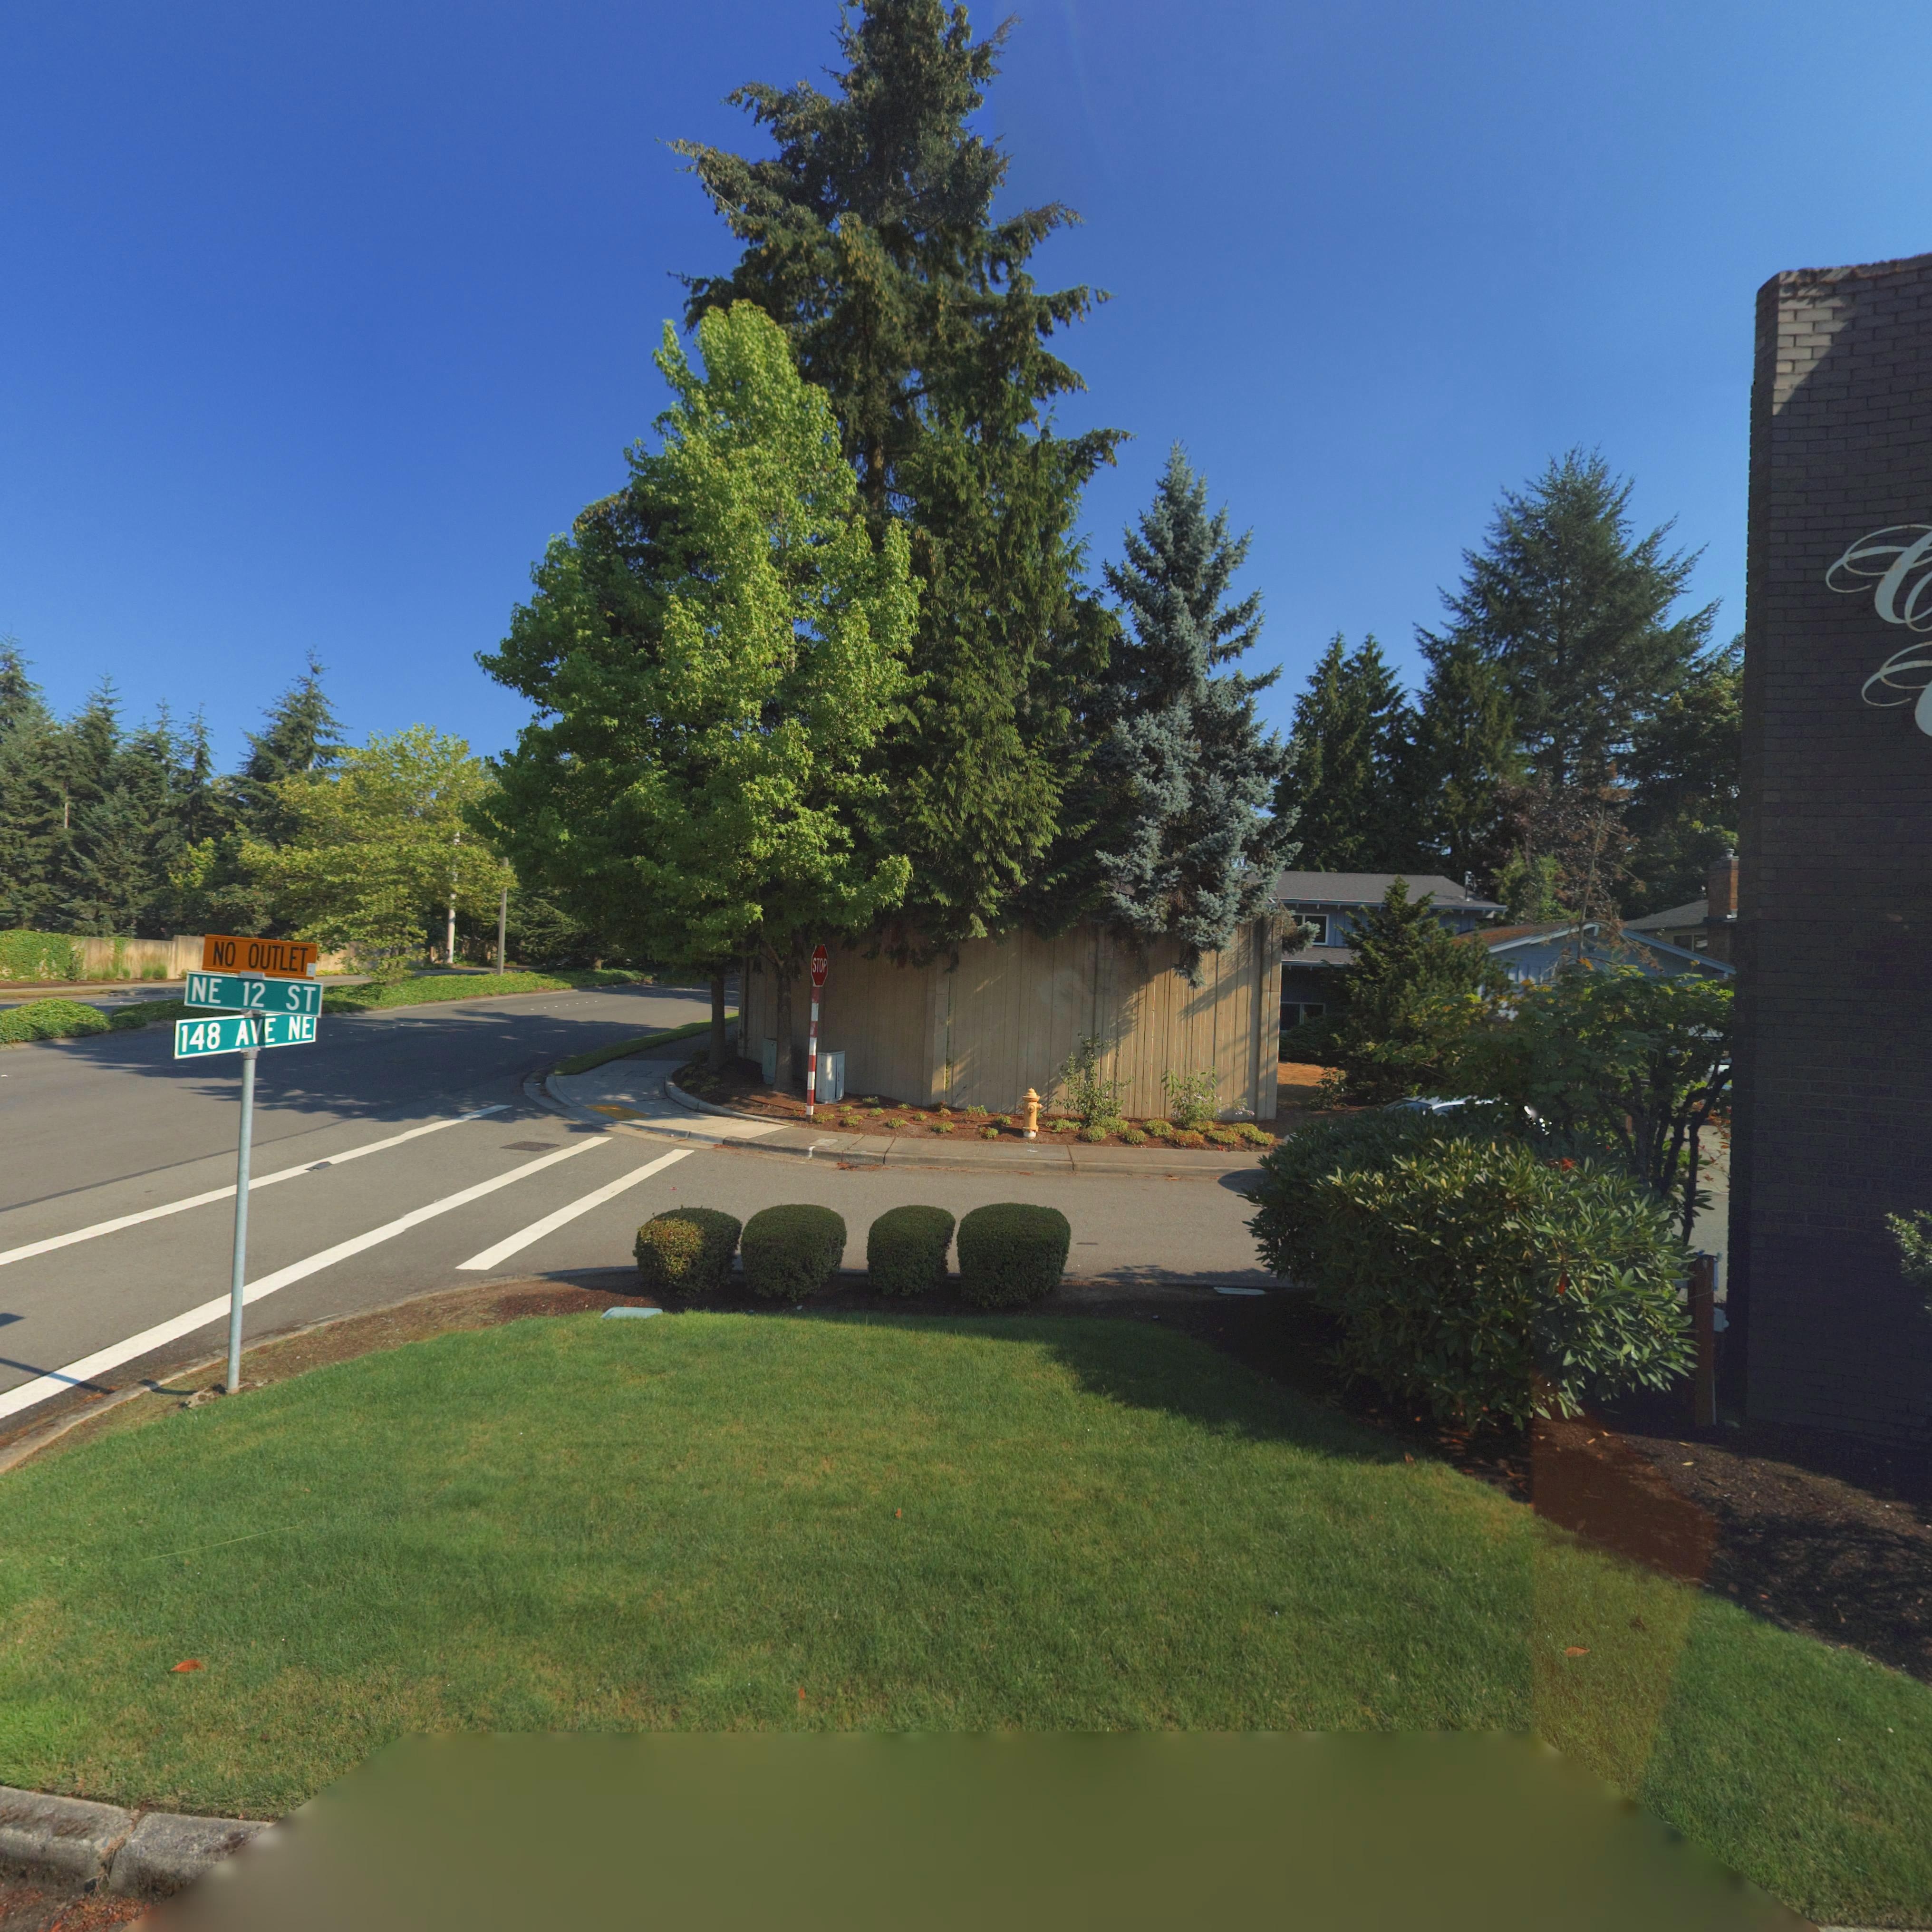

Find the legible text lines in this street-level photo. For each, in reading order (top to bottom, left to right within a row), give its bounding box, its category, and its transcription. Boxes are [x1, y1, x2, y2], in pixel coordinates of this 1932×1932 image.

[190, 976, 317, 1013] StreetName: NE 12 ST
[181, 1015, 314, 1053] StreetName: 148 AVE NE